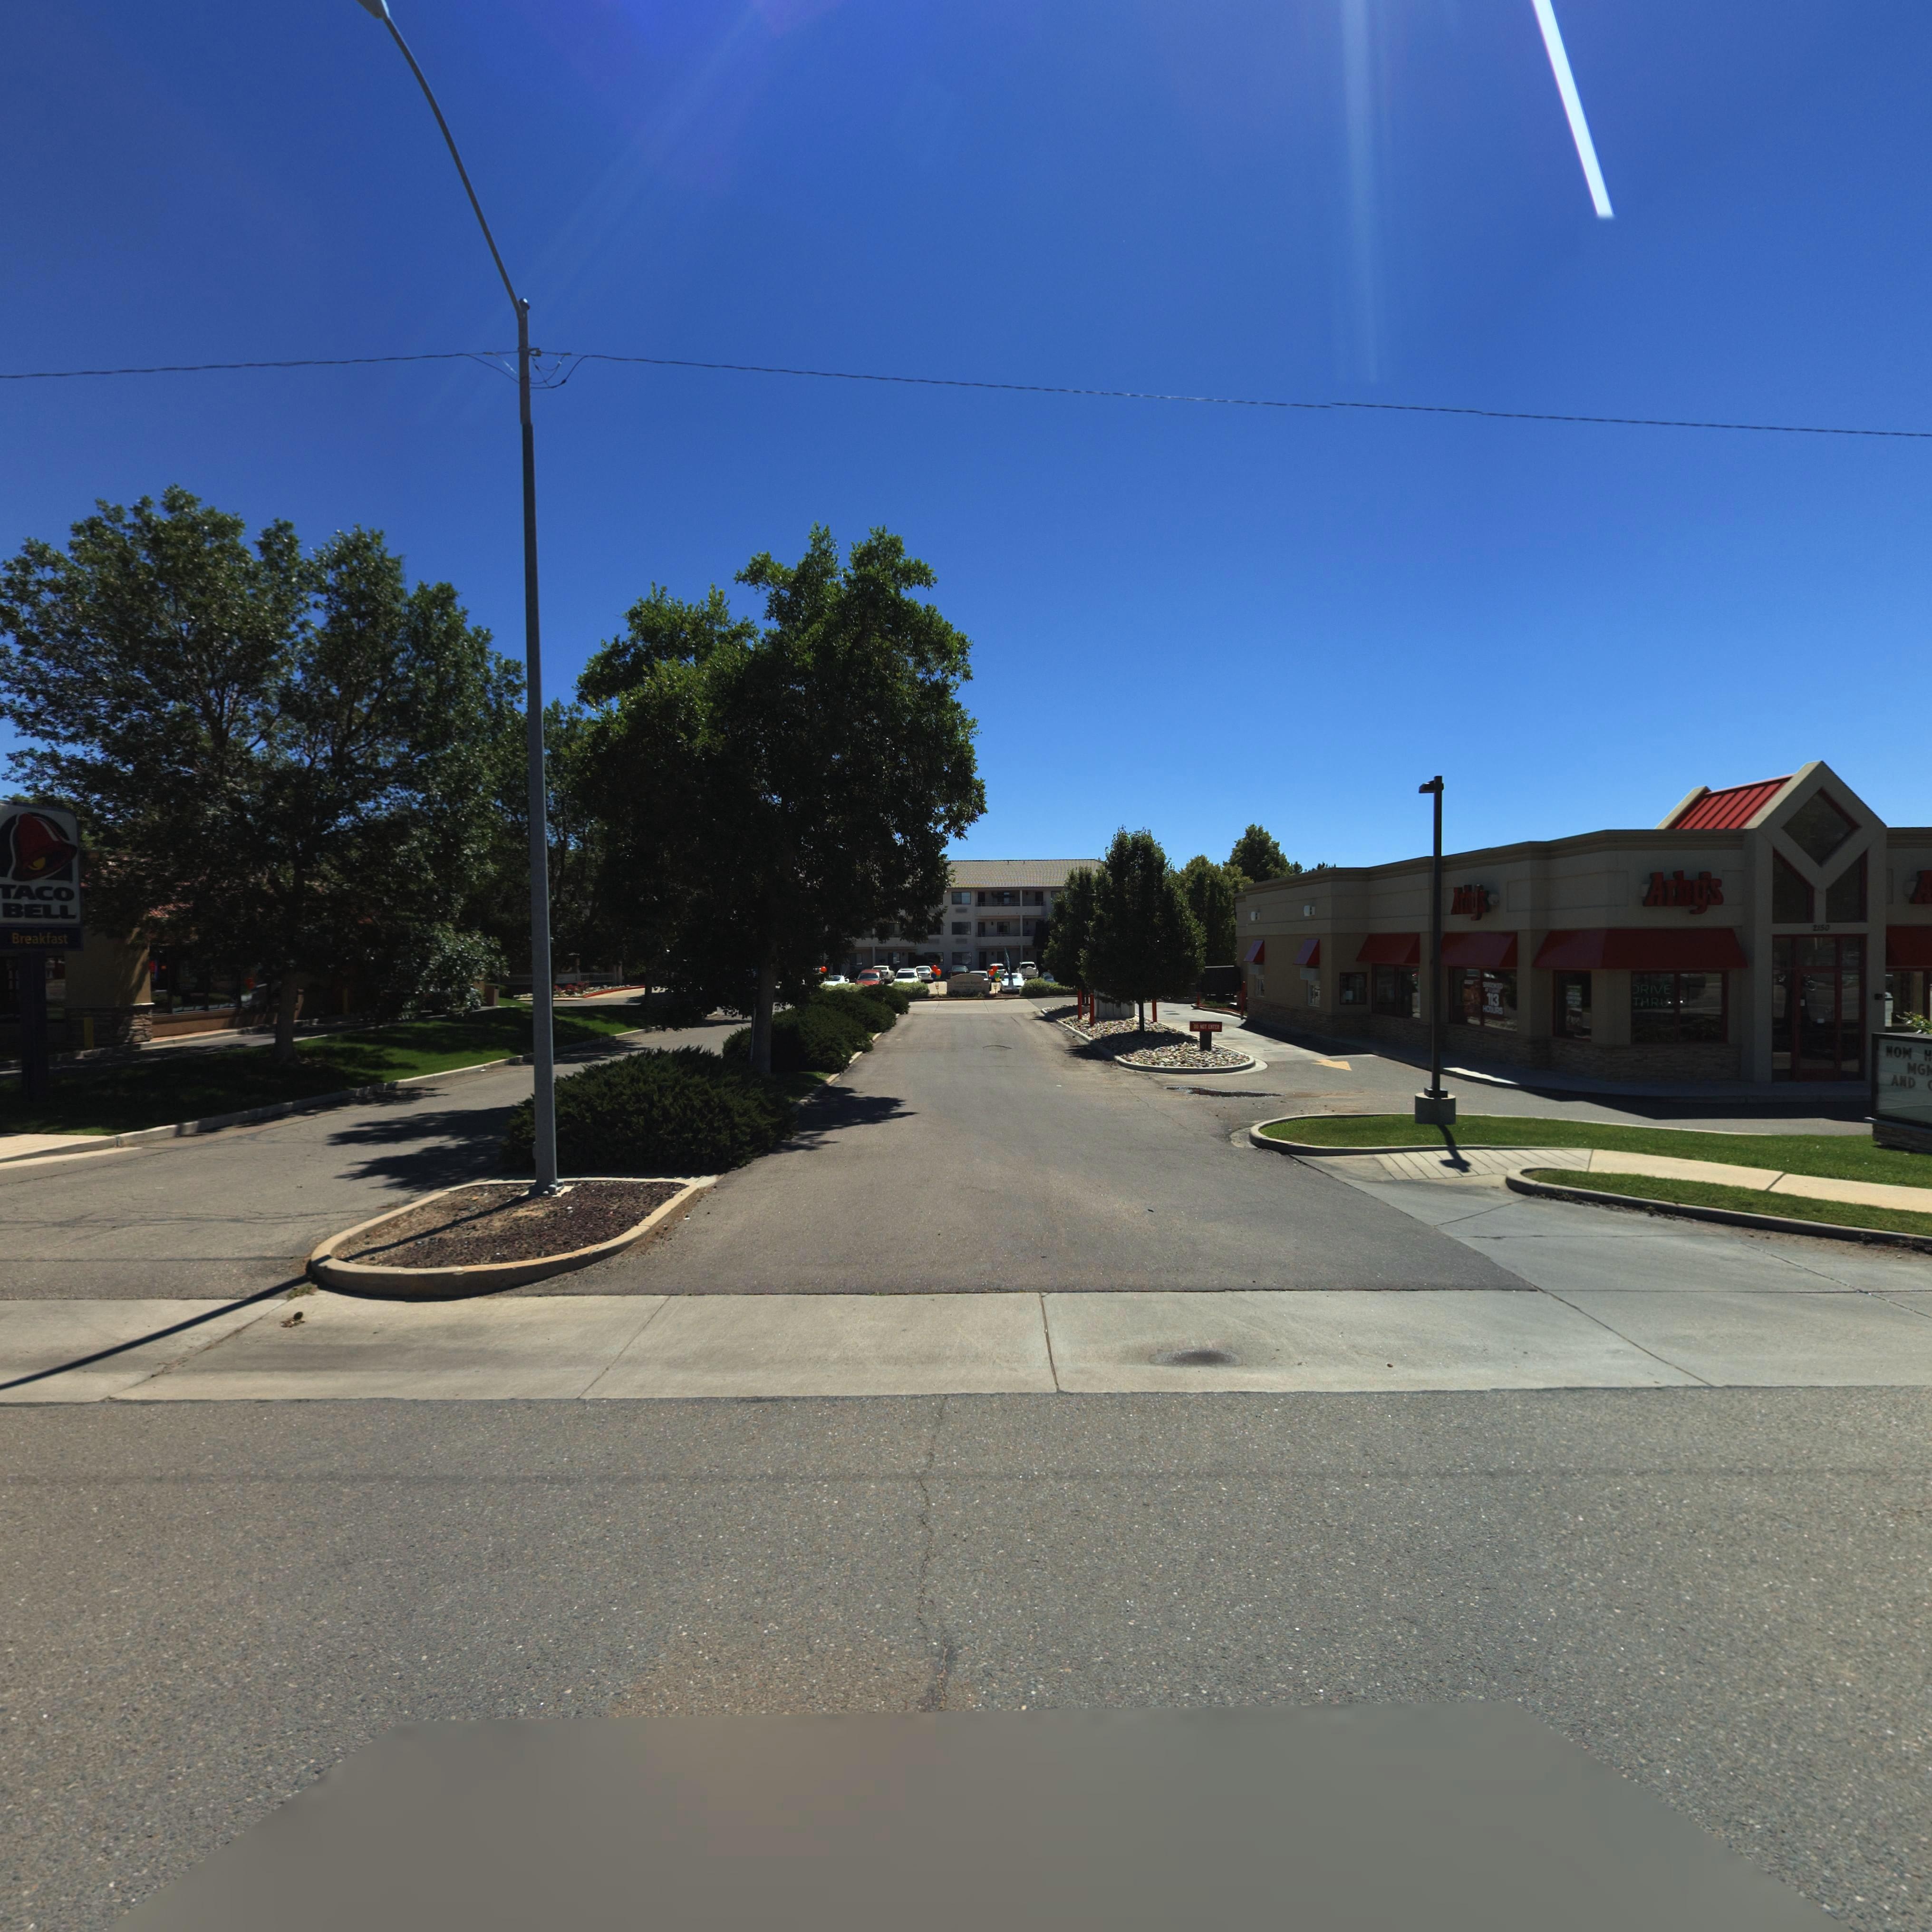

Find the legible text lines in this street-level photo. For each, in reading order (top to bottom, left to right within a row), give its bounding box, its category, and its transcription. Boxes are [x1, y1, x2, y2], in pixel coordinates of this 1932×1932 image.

[0, 883, 76, 902] BusinessName: TACO
[1, 901, 77, 919] BusinessName: BELL
[1449, 883, 1491, 921] BusinessName: Arby's
[1642, 869, 1725, 915] BusinessName: Arby's
[1812, 924, 1830, 931] StreetNumber: 2150
[1908, 869, 1932, 905] BusinessName: A